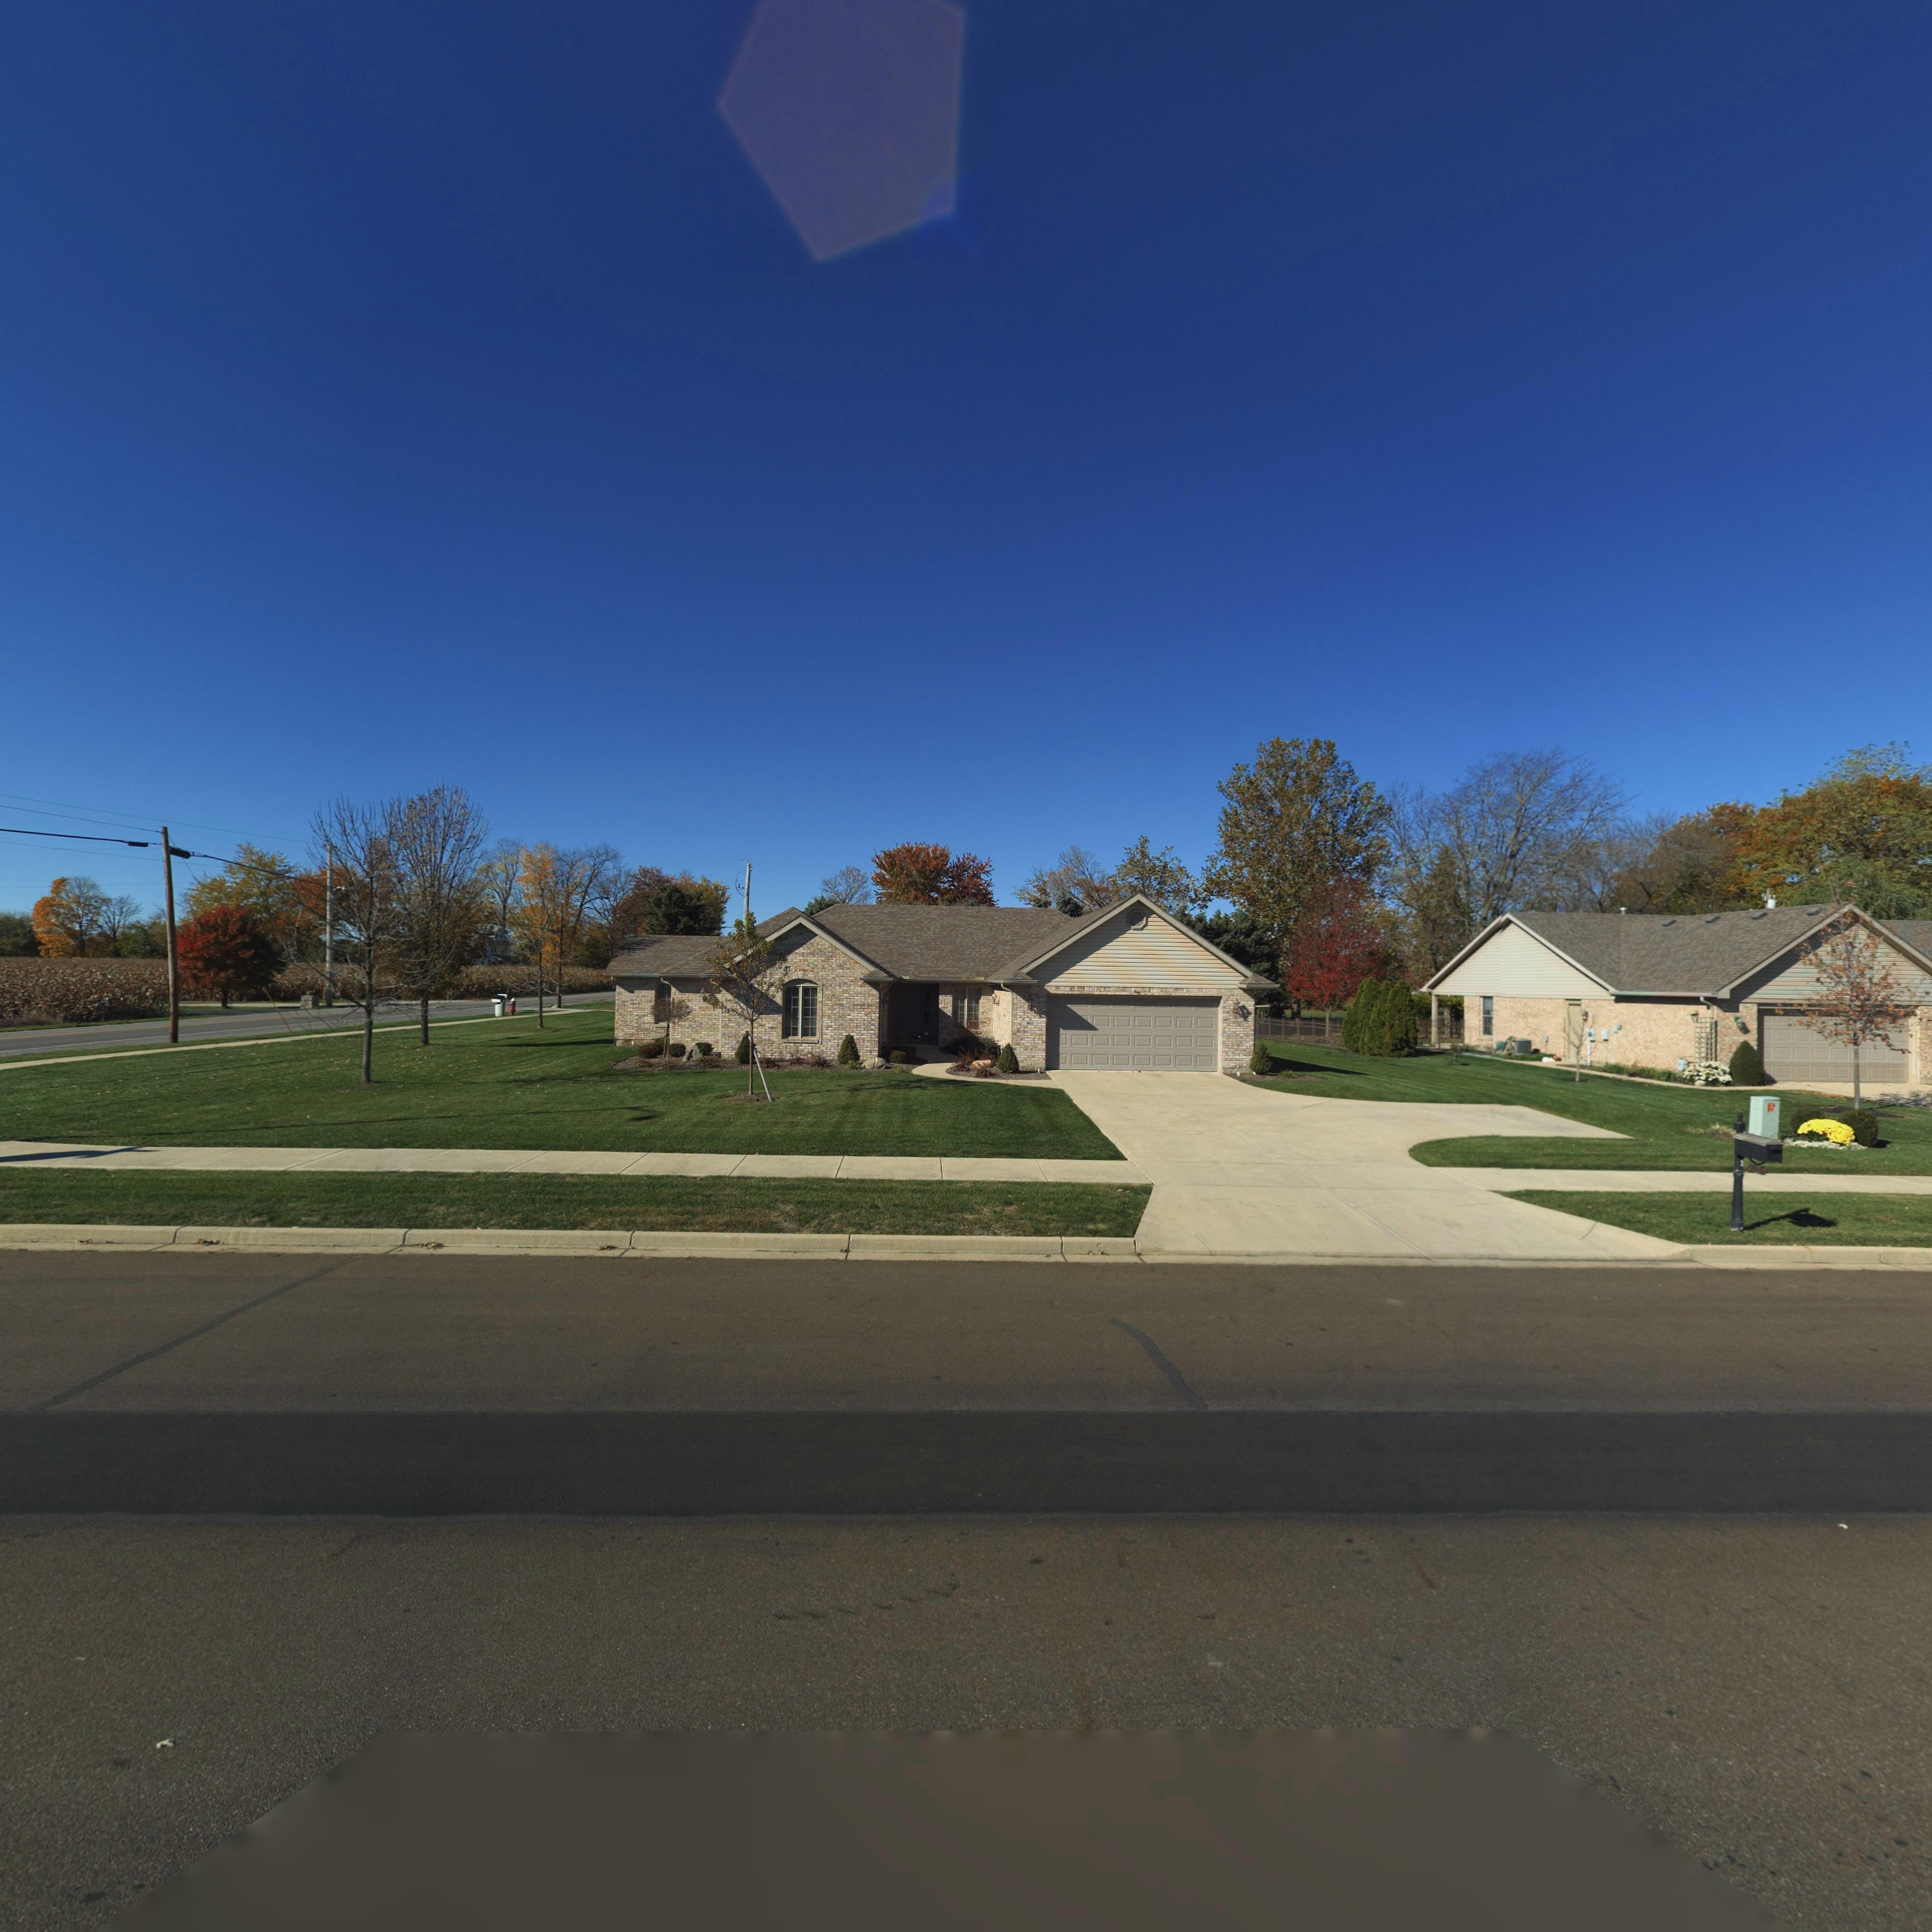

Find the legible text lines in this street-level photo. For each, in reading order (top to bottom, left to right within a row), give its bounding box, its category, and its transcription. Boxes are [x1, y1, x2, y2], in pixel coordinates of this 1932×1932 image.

[1025, 1021, 1034, 1025] StreetNumber: 36*